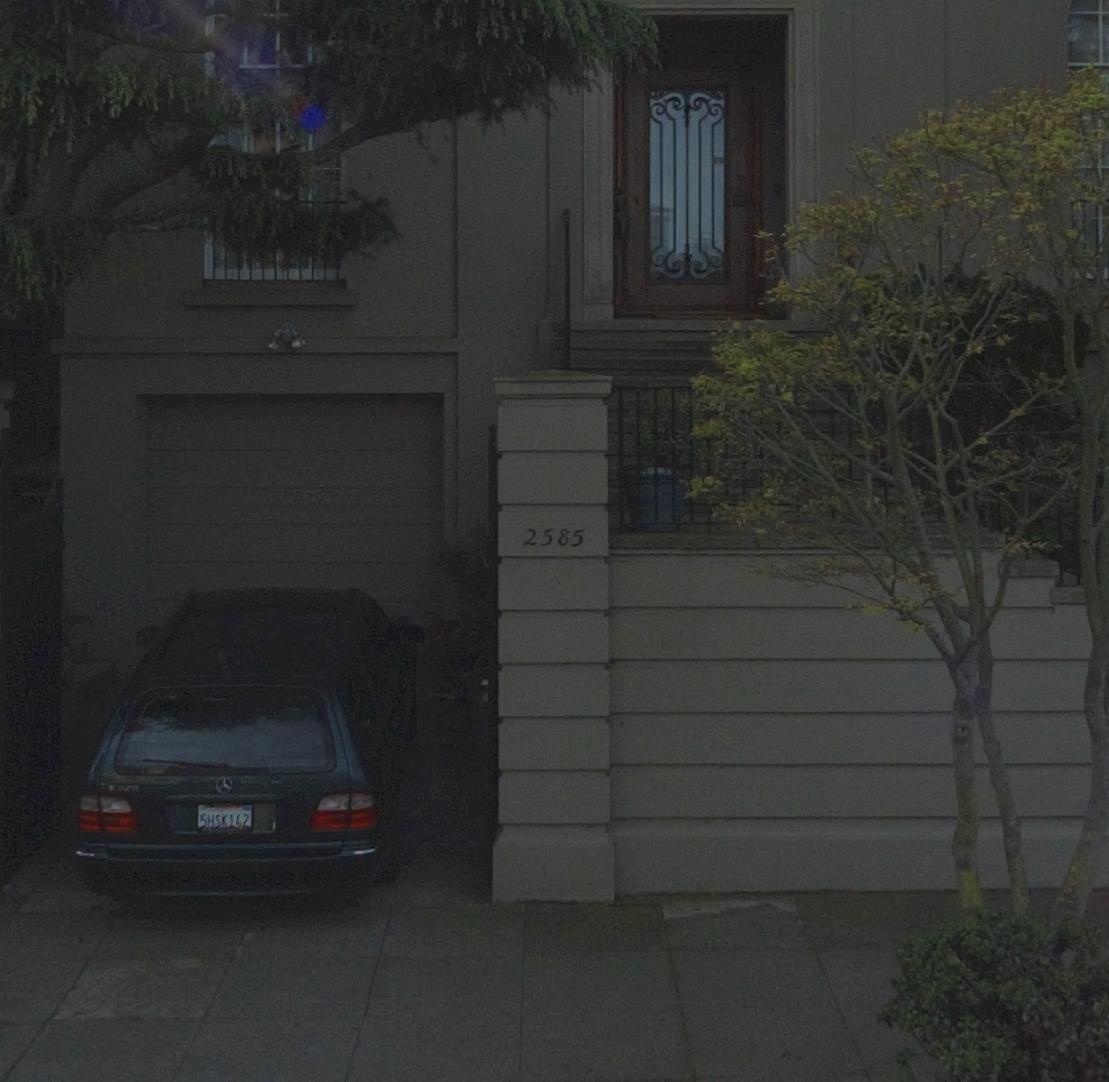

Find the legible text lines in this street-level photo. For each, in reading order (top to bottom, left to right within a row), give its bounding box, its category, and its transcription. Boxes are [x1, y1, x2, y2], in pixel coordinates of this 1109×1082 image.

[520, 526, 586, 548] StreetNumber: 2585
[198, 812, 251, 831] None: 5HSK142